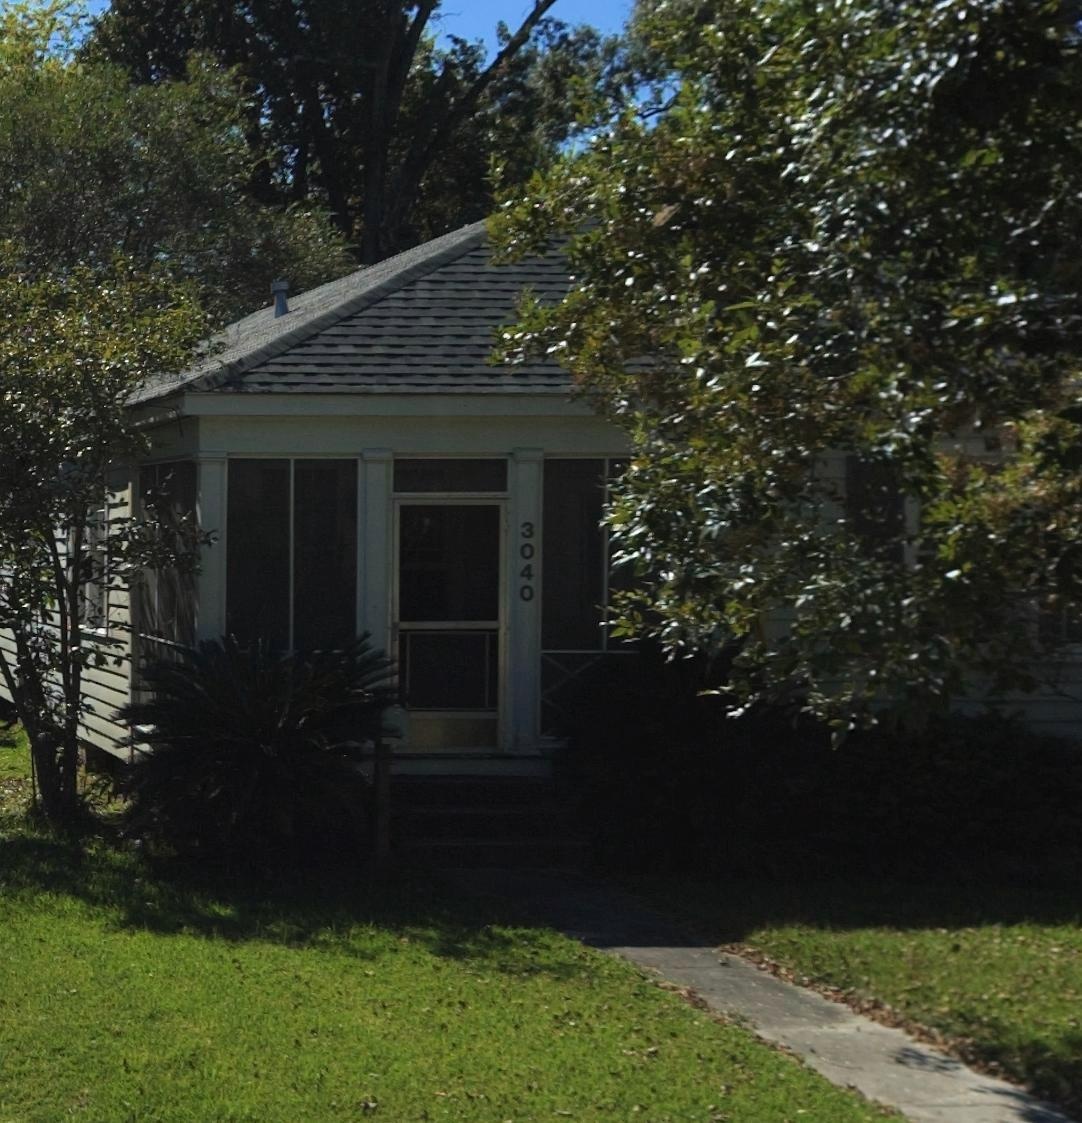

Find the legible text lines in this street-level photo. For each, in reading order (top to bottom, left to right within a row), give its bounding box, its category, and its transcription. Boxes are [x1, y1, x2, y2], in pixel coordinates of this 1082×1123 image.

[517, 520, 536, 603] StreetNumber: 3040